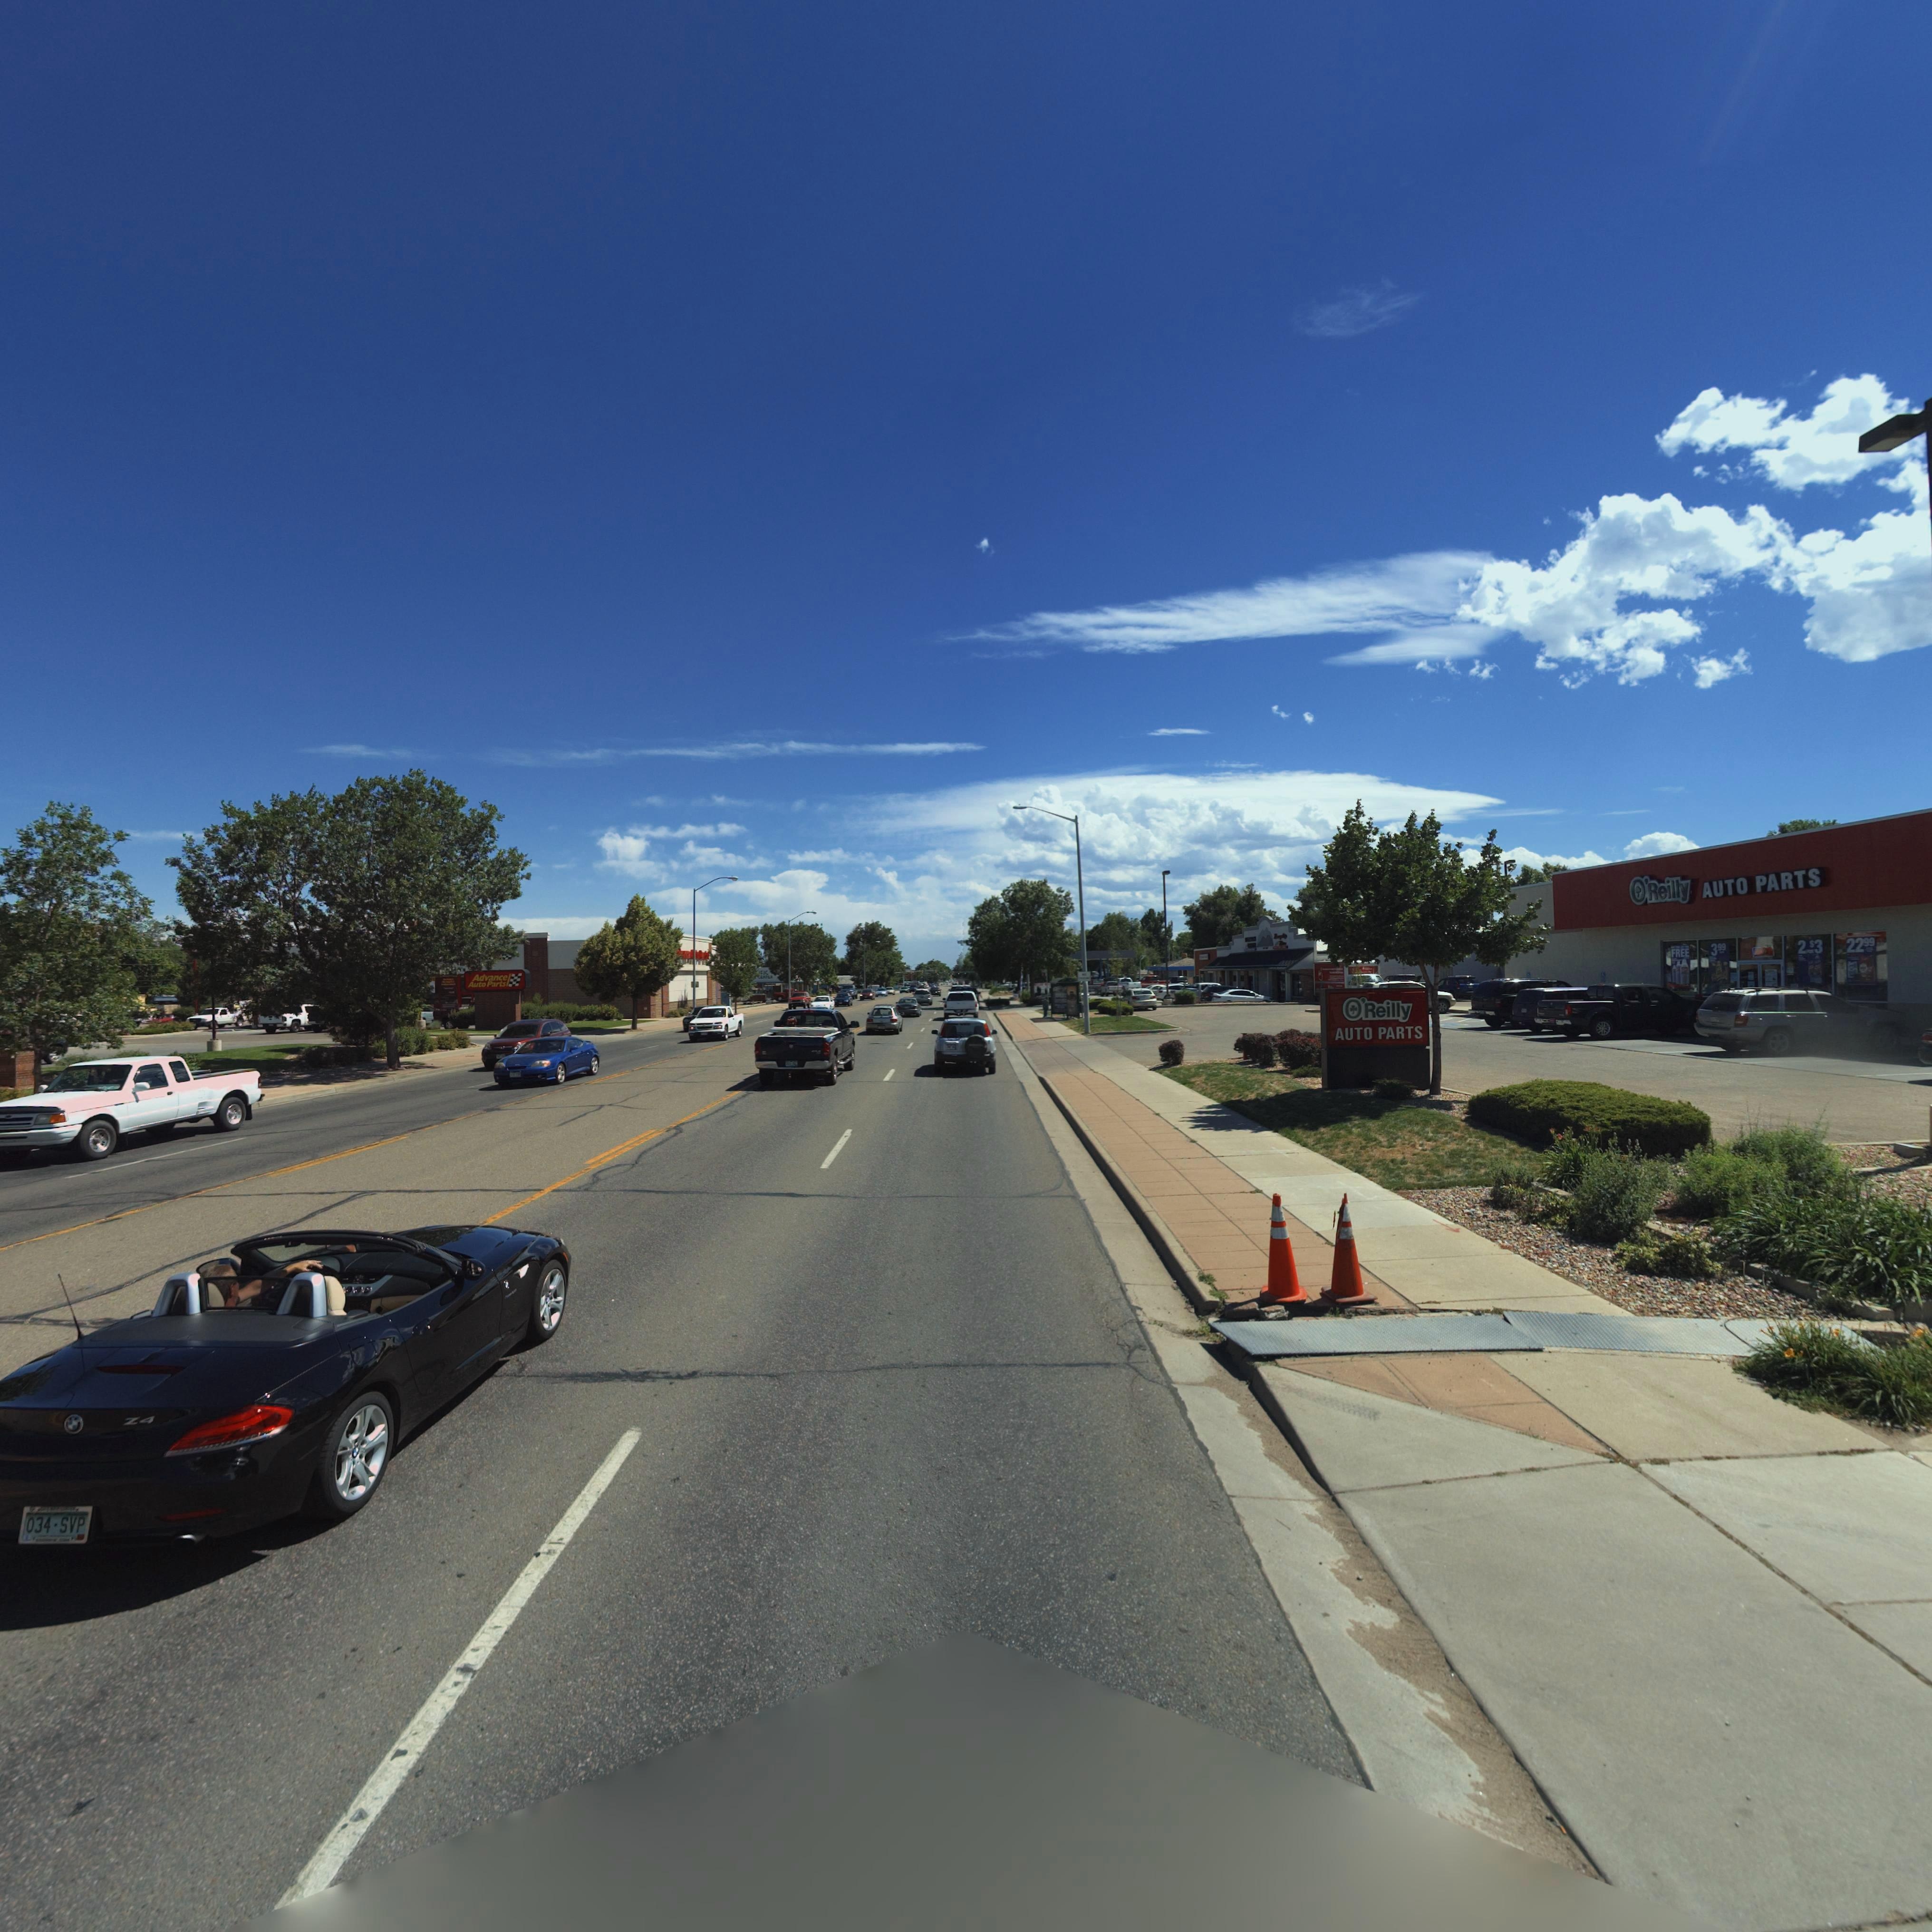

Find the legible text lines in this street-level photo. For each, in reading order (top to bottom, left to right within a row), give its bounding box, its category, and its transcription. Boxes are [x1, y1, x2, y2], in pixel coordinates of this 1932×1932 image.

[1631, 878, 1689, 903] BusinessName: O'Reilly
[1702, 868, 1820, 898] BusinessName: AUTO PARTS
[468, 981, 506, 987] BusinessName: Auto Parts
[472, 974, 508, 981] BusinessName: Advance
[1344, 997, 1411, 1020] BusinessName: O'Reilly
[1335, 1025, 1422, 1040] BusinessName: AUTO PARTS